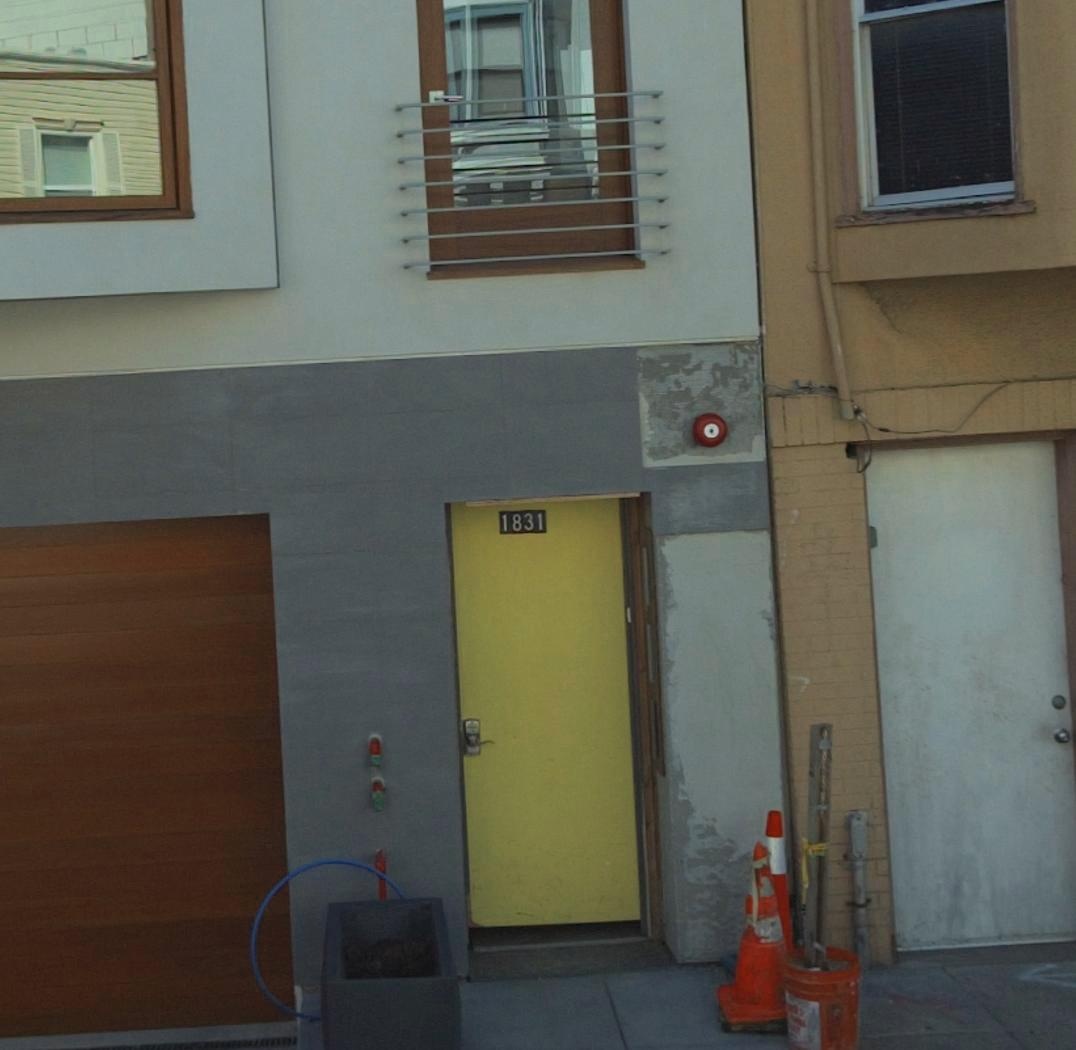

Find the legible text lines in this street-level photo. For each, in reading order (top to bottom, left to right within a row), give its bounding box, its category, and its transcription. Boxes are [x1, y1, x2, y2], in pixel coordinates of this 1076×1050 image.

[499, 511, 545, 533] StreetNumber: 1831